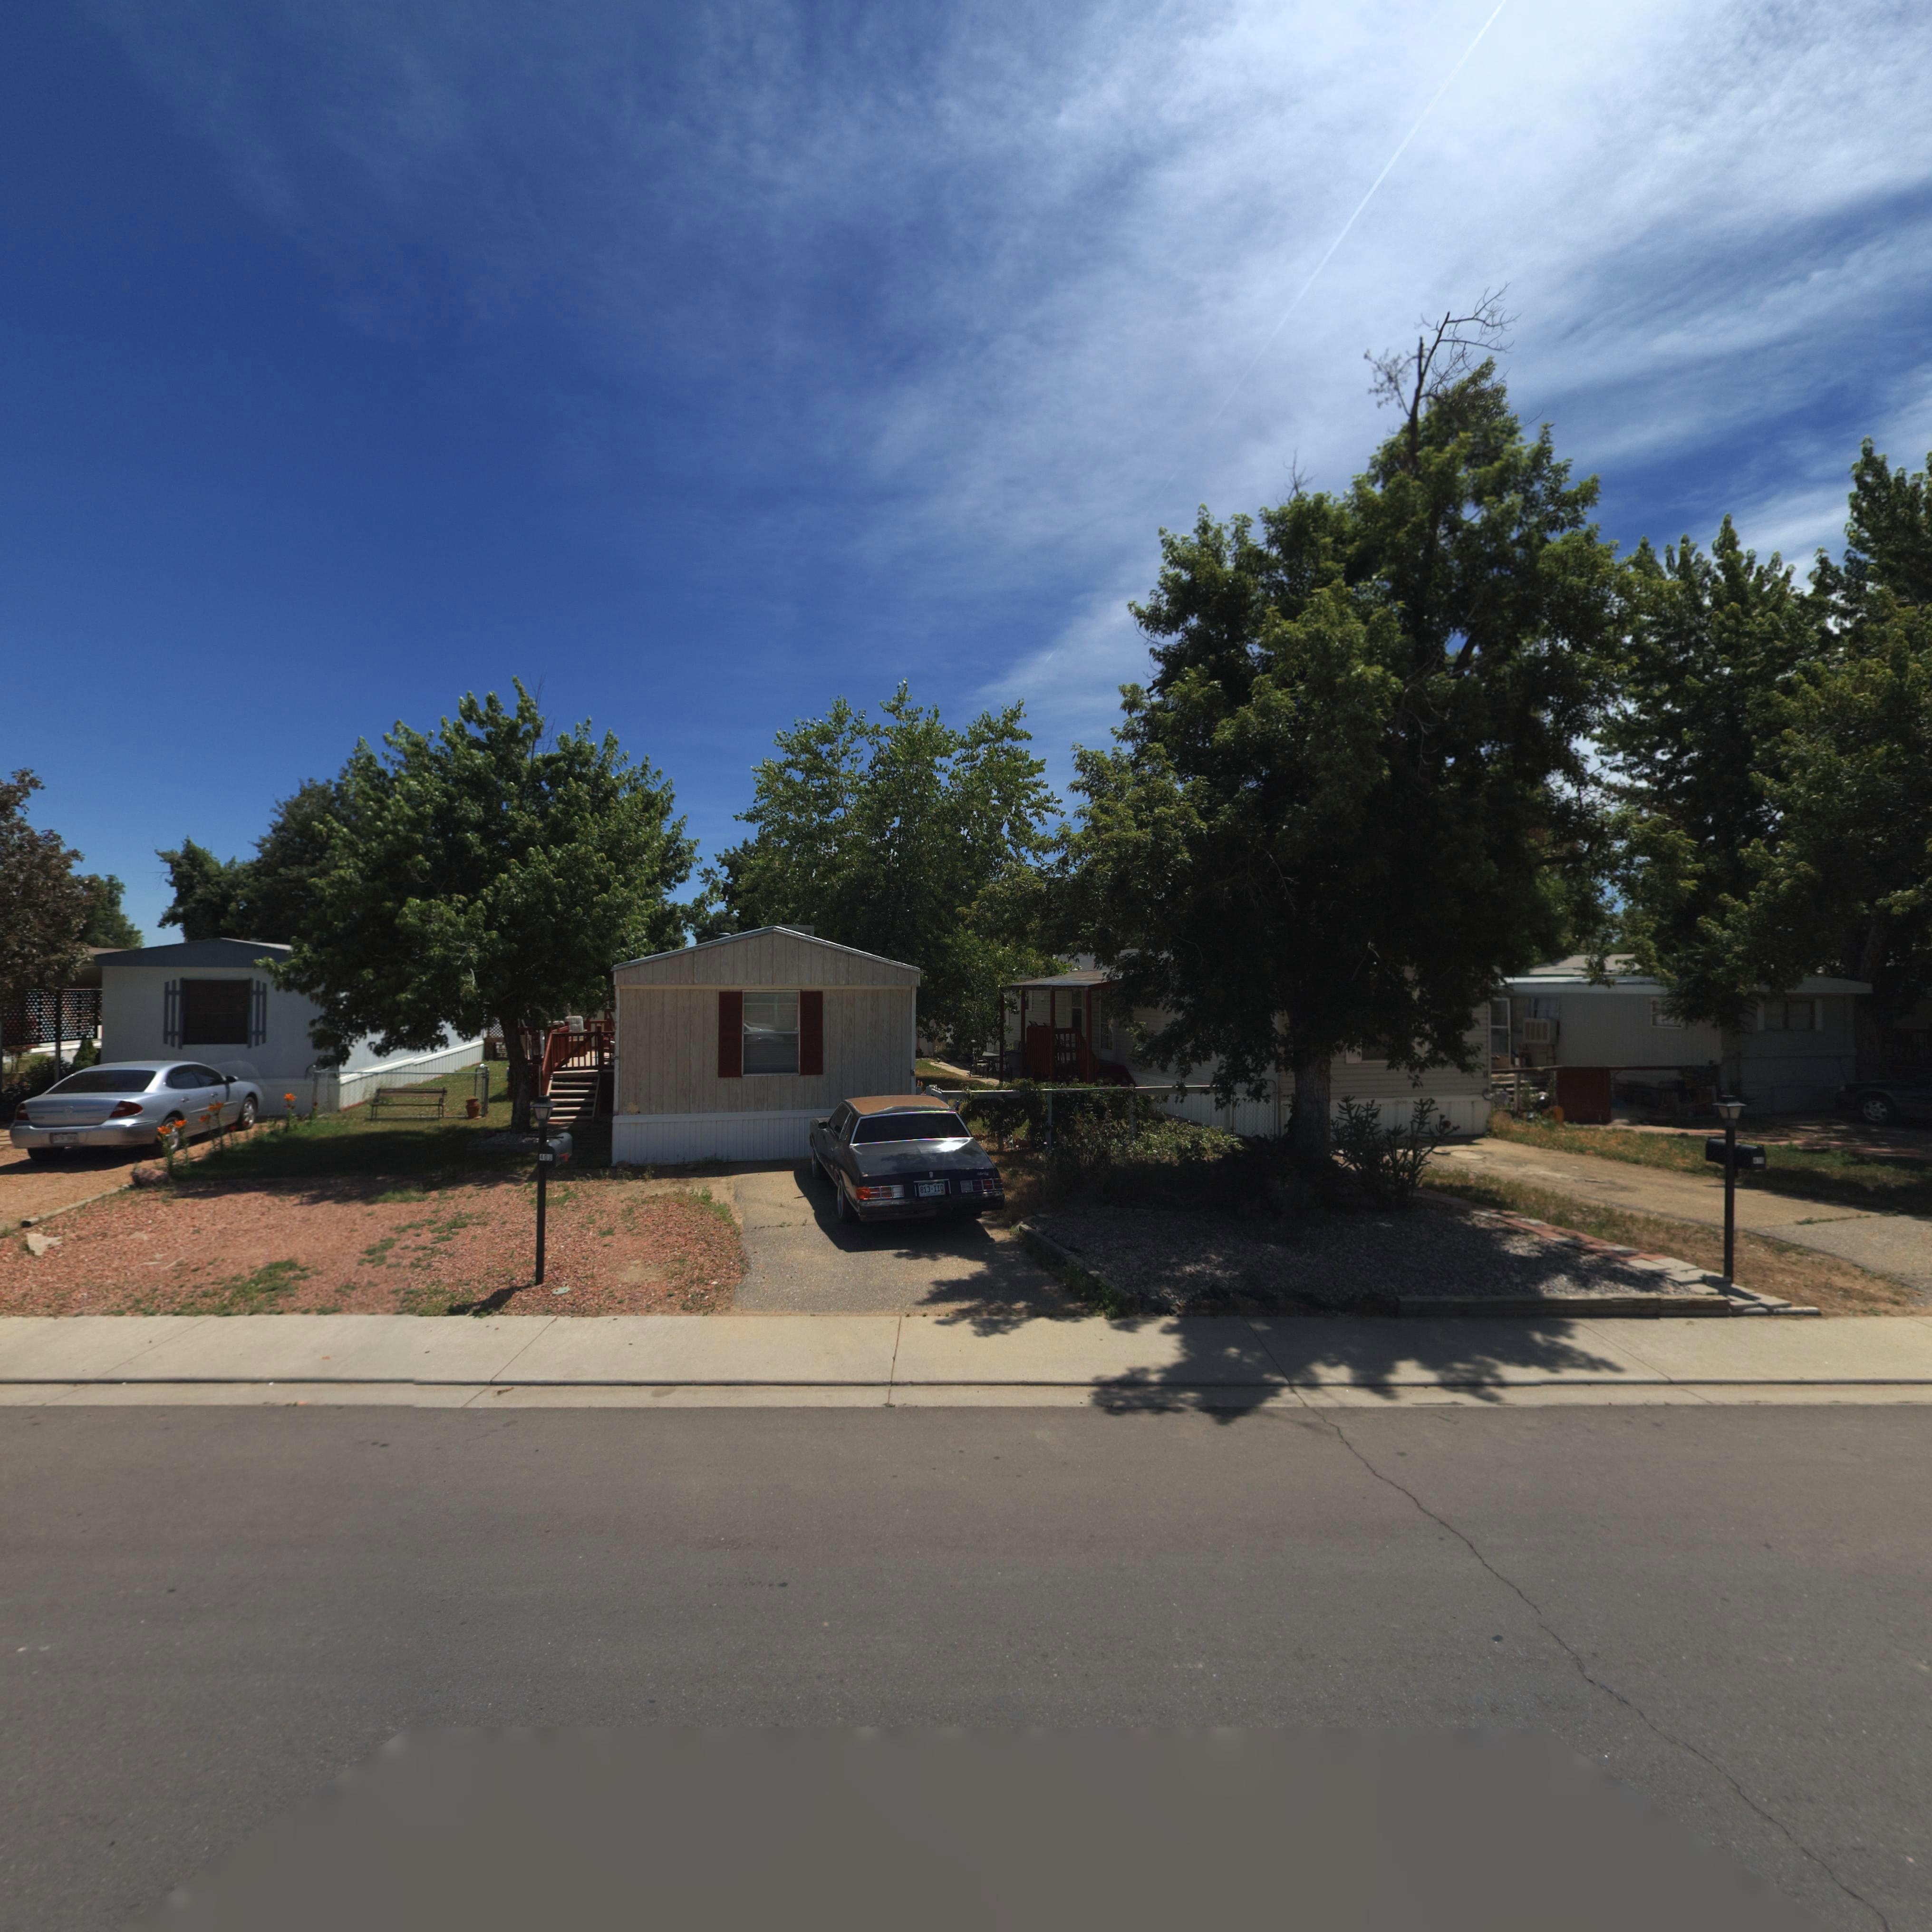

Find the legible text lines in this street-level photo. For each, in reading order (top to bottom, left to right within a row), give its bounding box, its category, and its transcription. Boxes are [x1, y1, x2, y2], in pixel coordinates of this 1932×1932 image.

[540, 1154, 552, 1160] StreetNumber: 408
[1752, 1157, 1765, 1164] StreetNumber: 41*